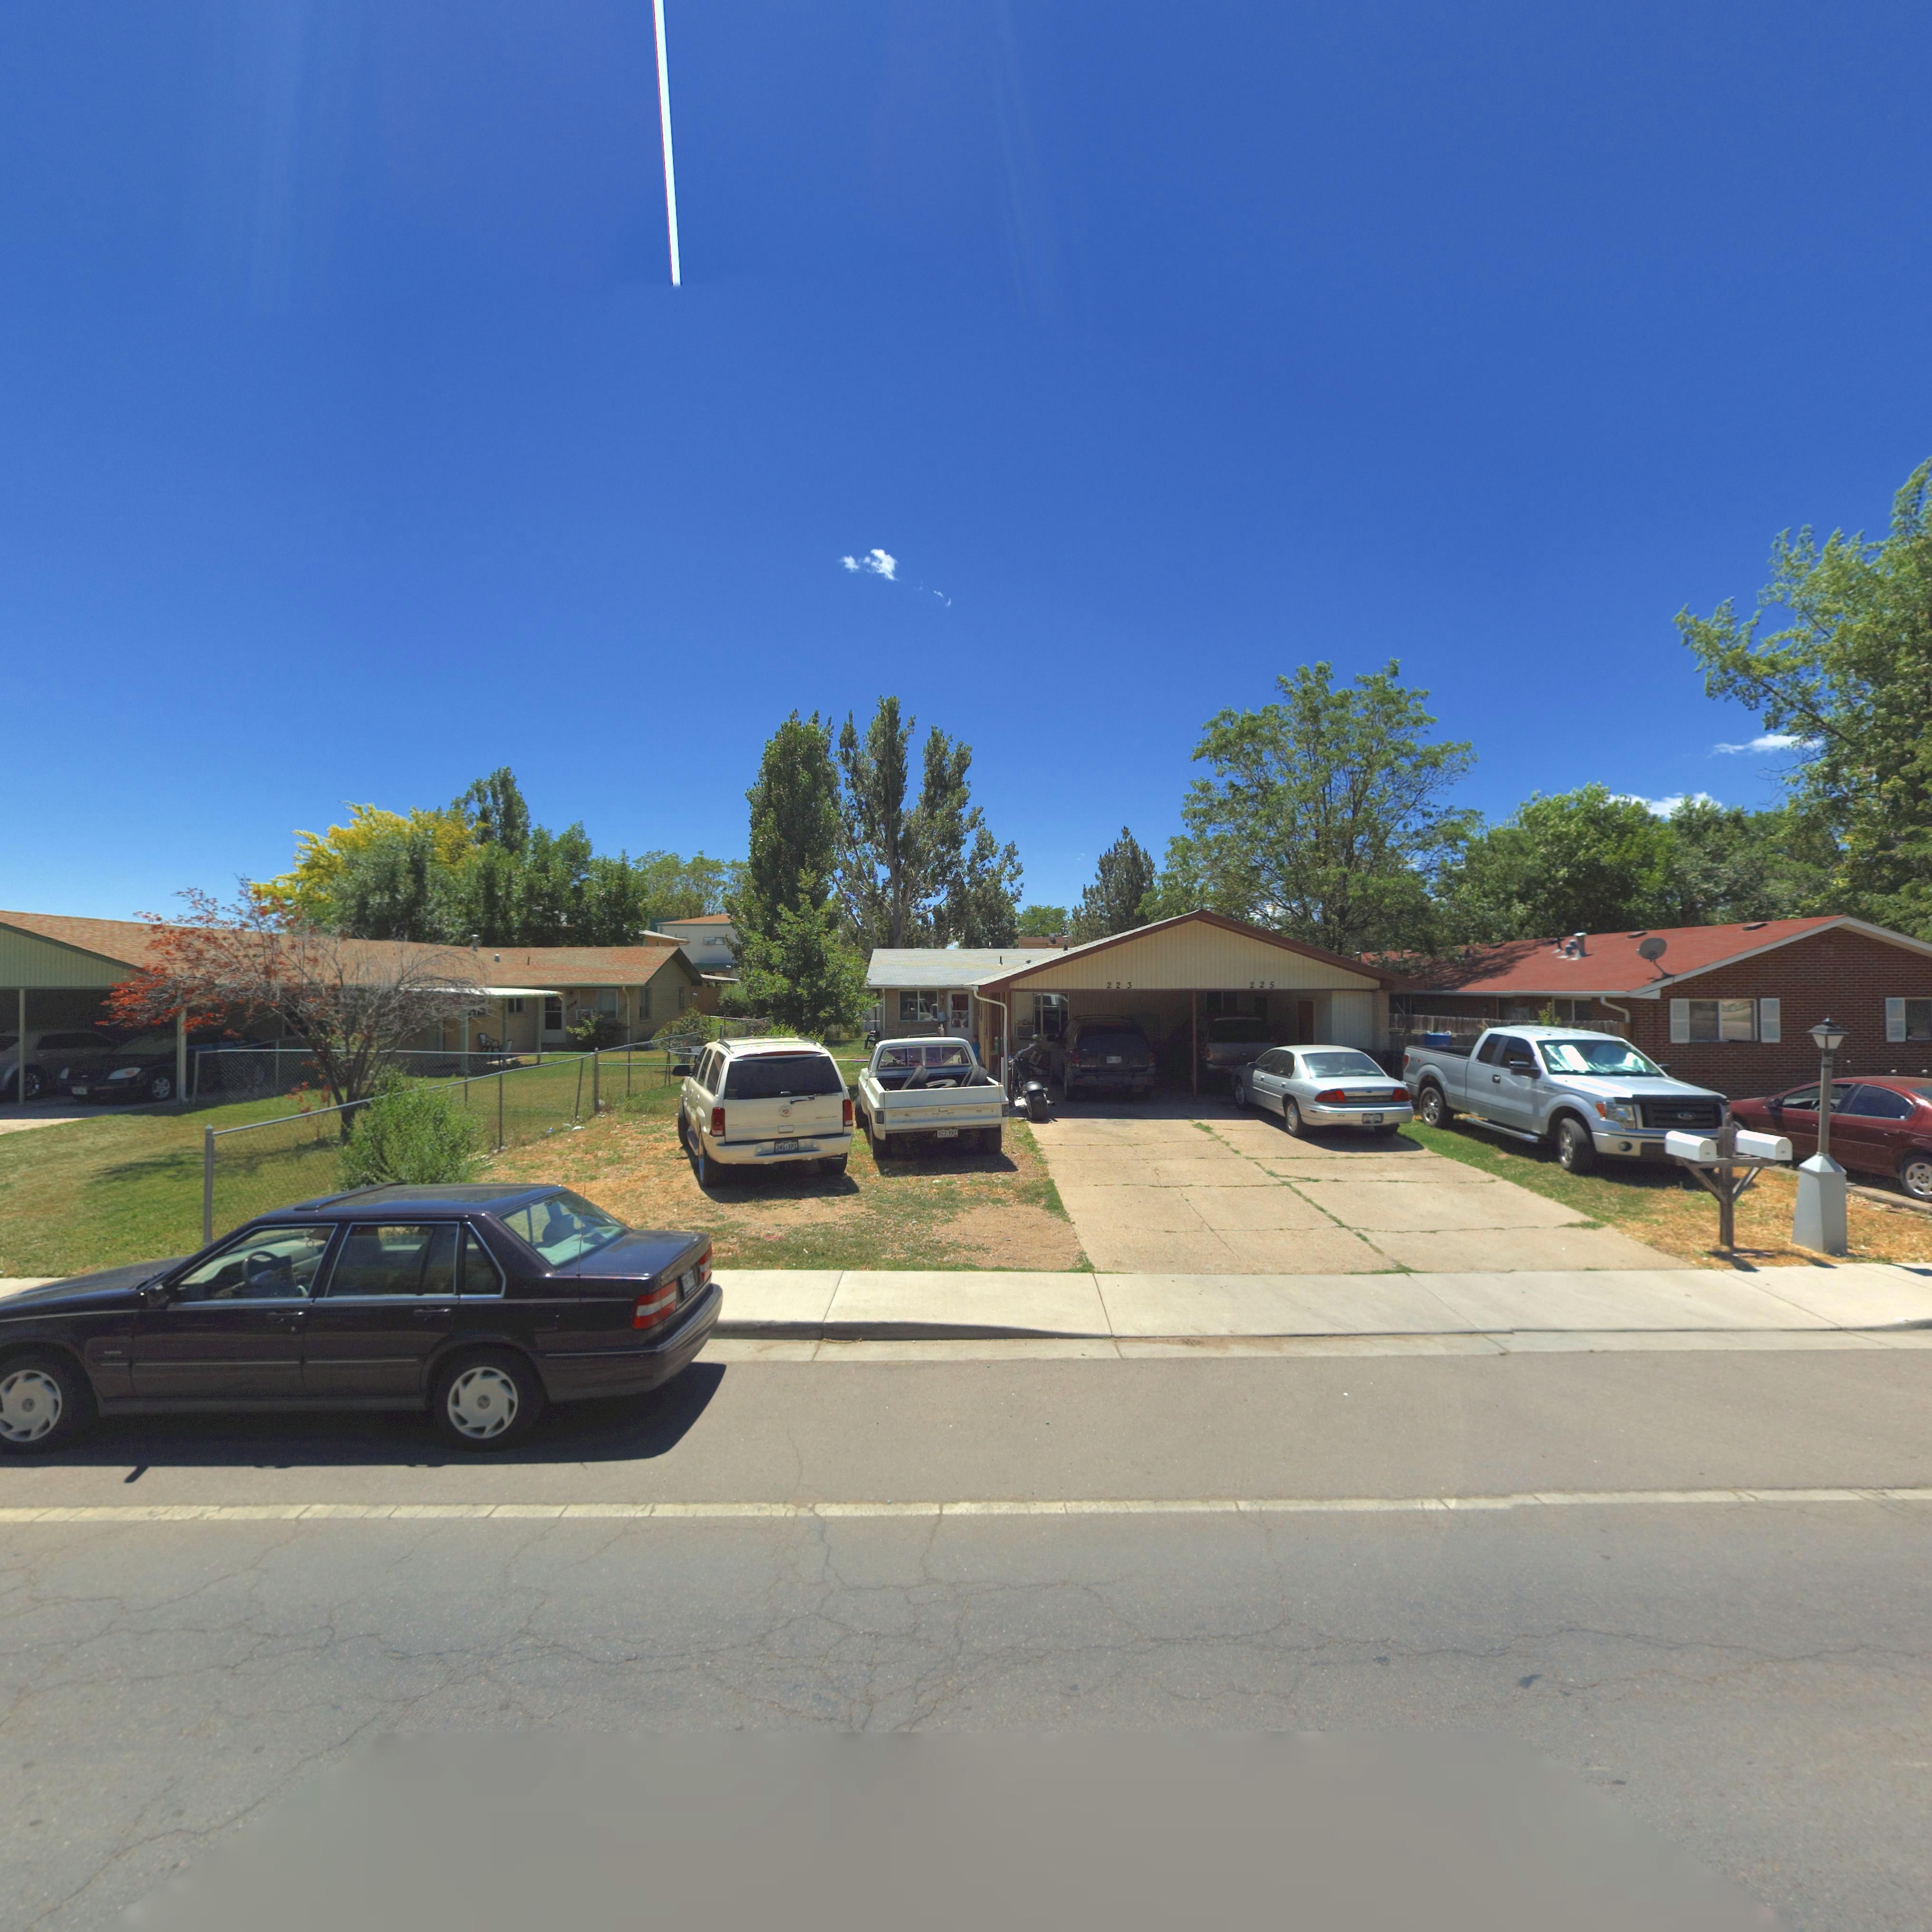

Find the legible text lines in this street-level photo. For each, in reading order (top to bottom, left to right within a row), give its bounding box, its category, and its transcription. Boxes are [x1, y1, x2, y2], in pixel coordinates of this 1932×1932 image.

[1106, 981, 1131, 989] StreetNumber: 223
[1249, 981, 1275, 988] StreetNumber: 225